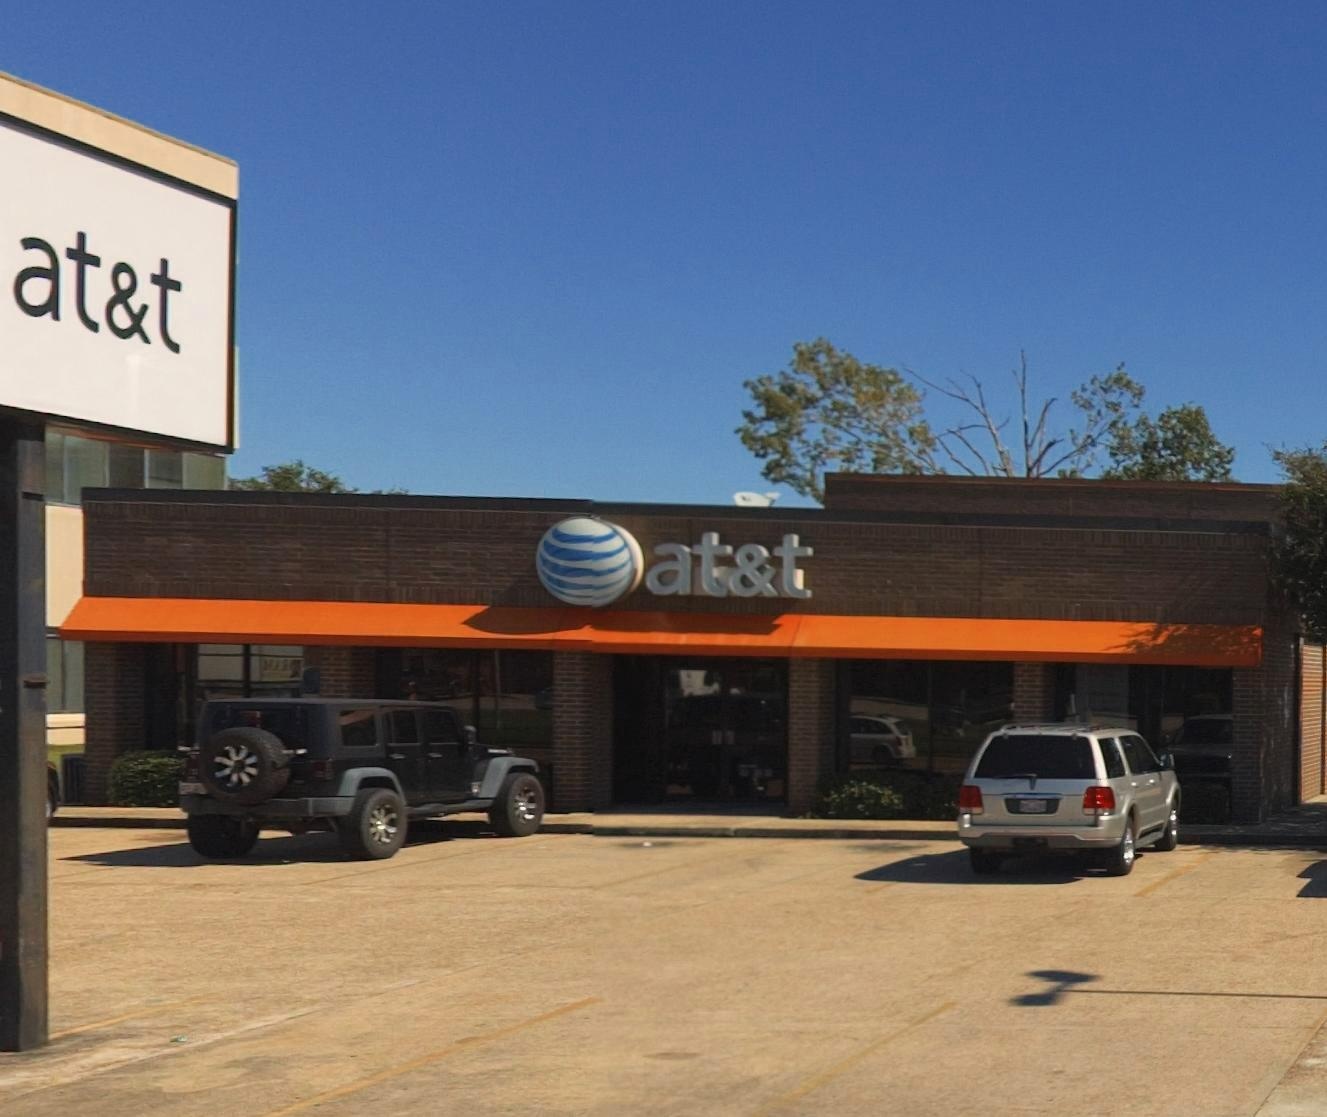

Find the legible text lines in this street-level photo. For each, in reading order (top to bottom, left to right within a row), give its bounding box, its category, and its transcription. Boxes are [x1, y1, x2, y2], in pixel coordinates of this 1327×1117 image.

[4, 226, 187, 362] BusinessName: at&t
[642, 528, 817, 600] BusinessName: at&t